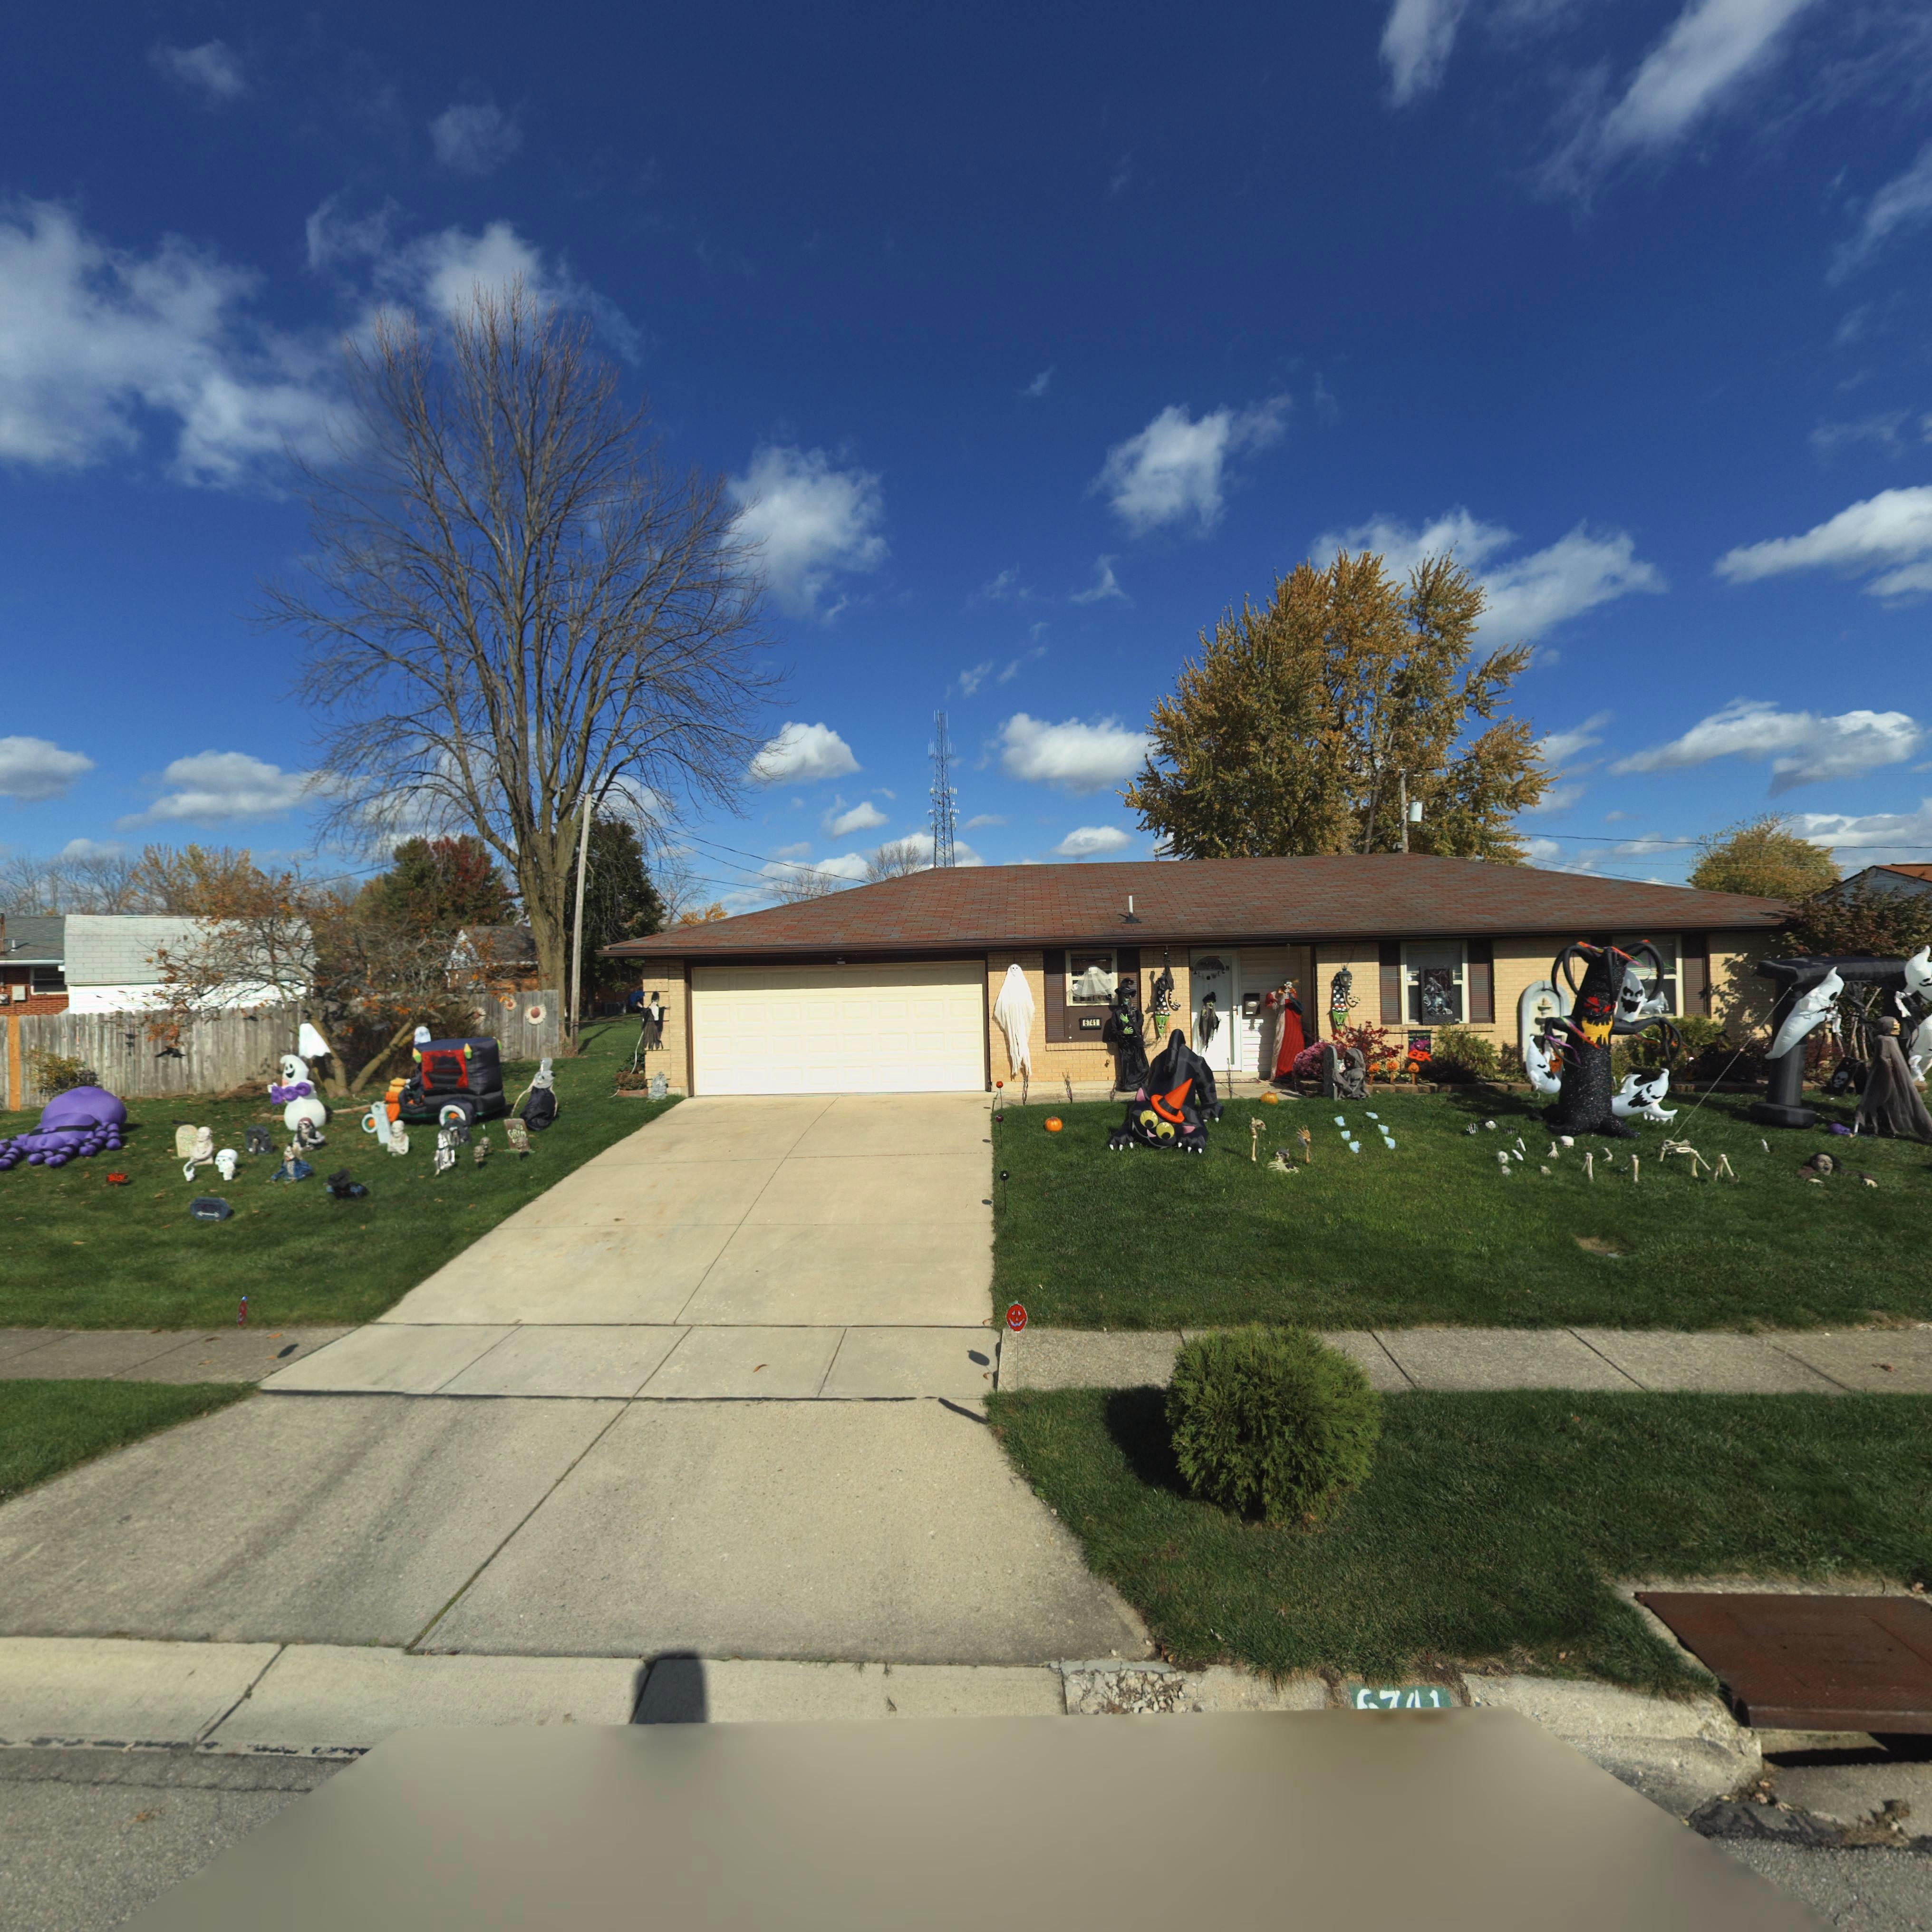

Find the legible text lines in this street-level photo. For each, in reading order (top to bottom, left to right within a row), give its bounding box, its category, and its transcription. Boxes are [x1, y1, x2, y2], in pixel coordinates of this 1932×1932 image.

[1084, 1019, 1097, 1026] StreetNumber: 6741